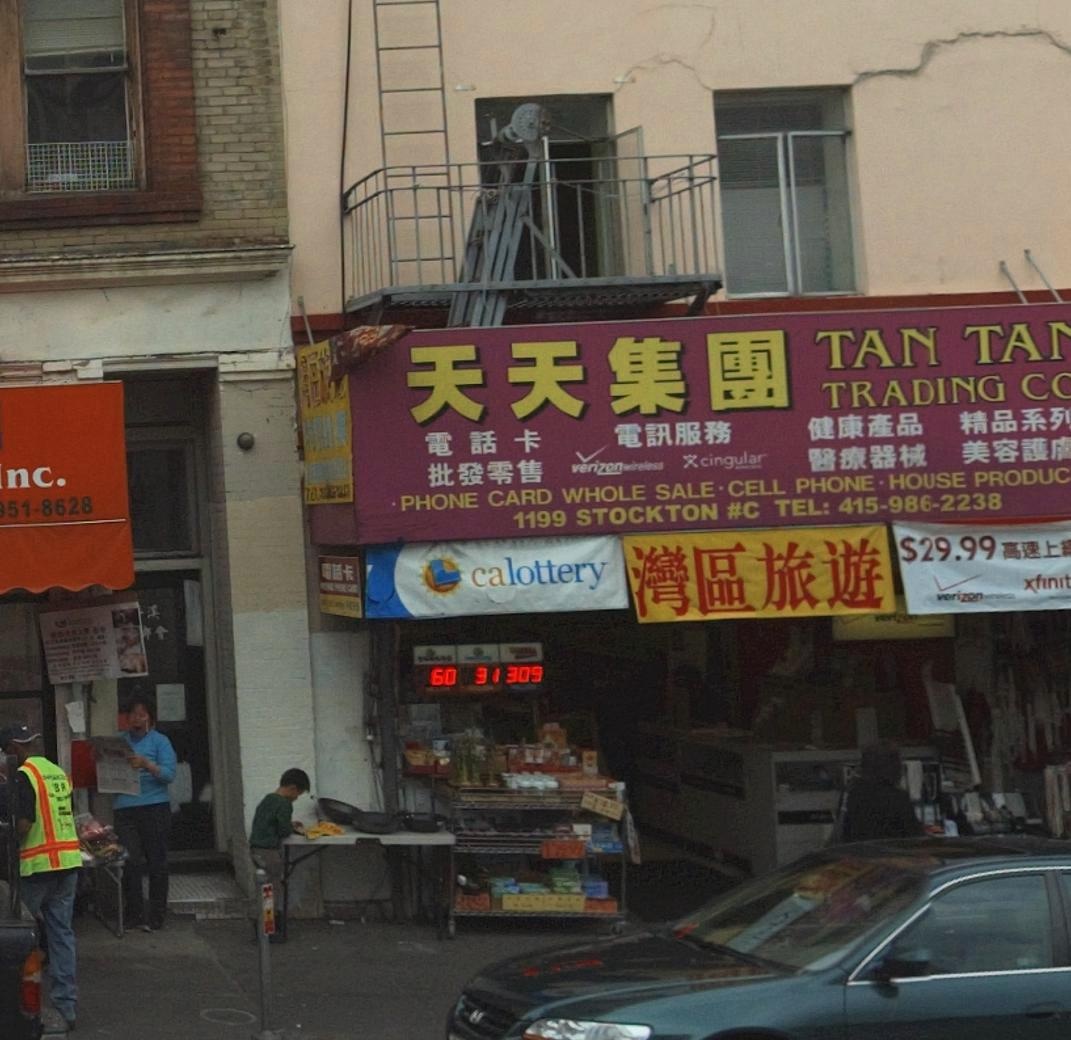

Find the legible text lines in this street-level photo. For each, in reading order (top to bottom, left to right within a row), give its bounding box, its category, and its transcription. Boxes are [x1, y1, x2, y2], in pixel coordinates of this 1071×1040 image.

[810, 316, 1055, 376] BusinessName: TAN TA
[816, 366, 1059, 416] BusinessName: TRADING C
[3, 460, 74, 494] BusinessName: nc.
[570, 461, 625, 477] None: verizon
[394, 462, 1071, 516] None: PHONE CARD WHOLE SALE*CELL PHONE*HOUSE PRODUC
[698, 444, 770, 475] None: cingular
[5, 491, 98, 522] None: 51-8628
[509, 508, 569, 532] StreetNumber: 1199
[572, 499, 723, 531] StreetName: STOCKTON
[721, 489, 1007, 525] None: #C TEL: 415-98*-2238
[896, 532, 1002, 568] None: $29.99
[469, 550, 616, 597] None: calottery
[934, 590, 986, 606] None: verizon
[1021, 568, 1071, 598] None: xfinit
[872, 611, 906, 627] None: veriz
[426, 662, 548, 689] None: 60 31309